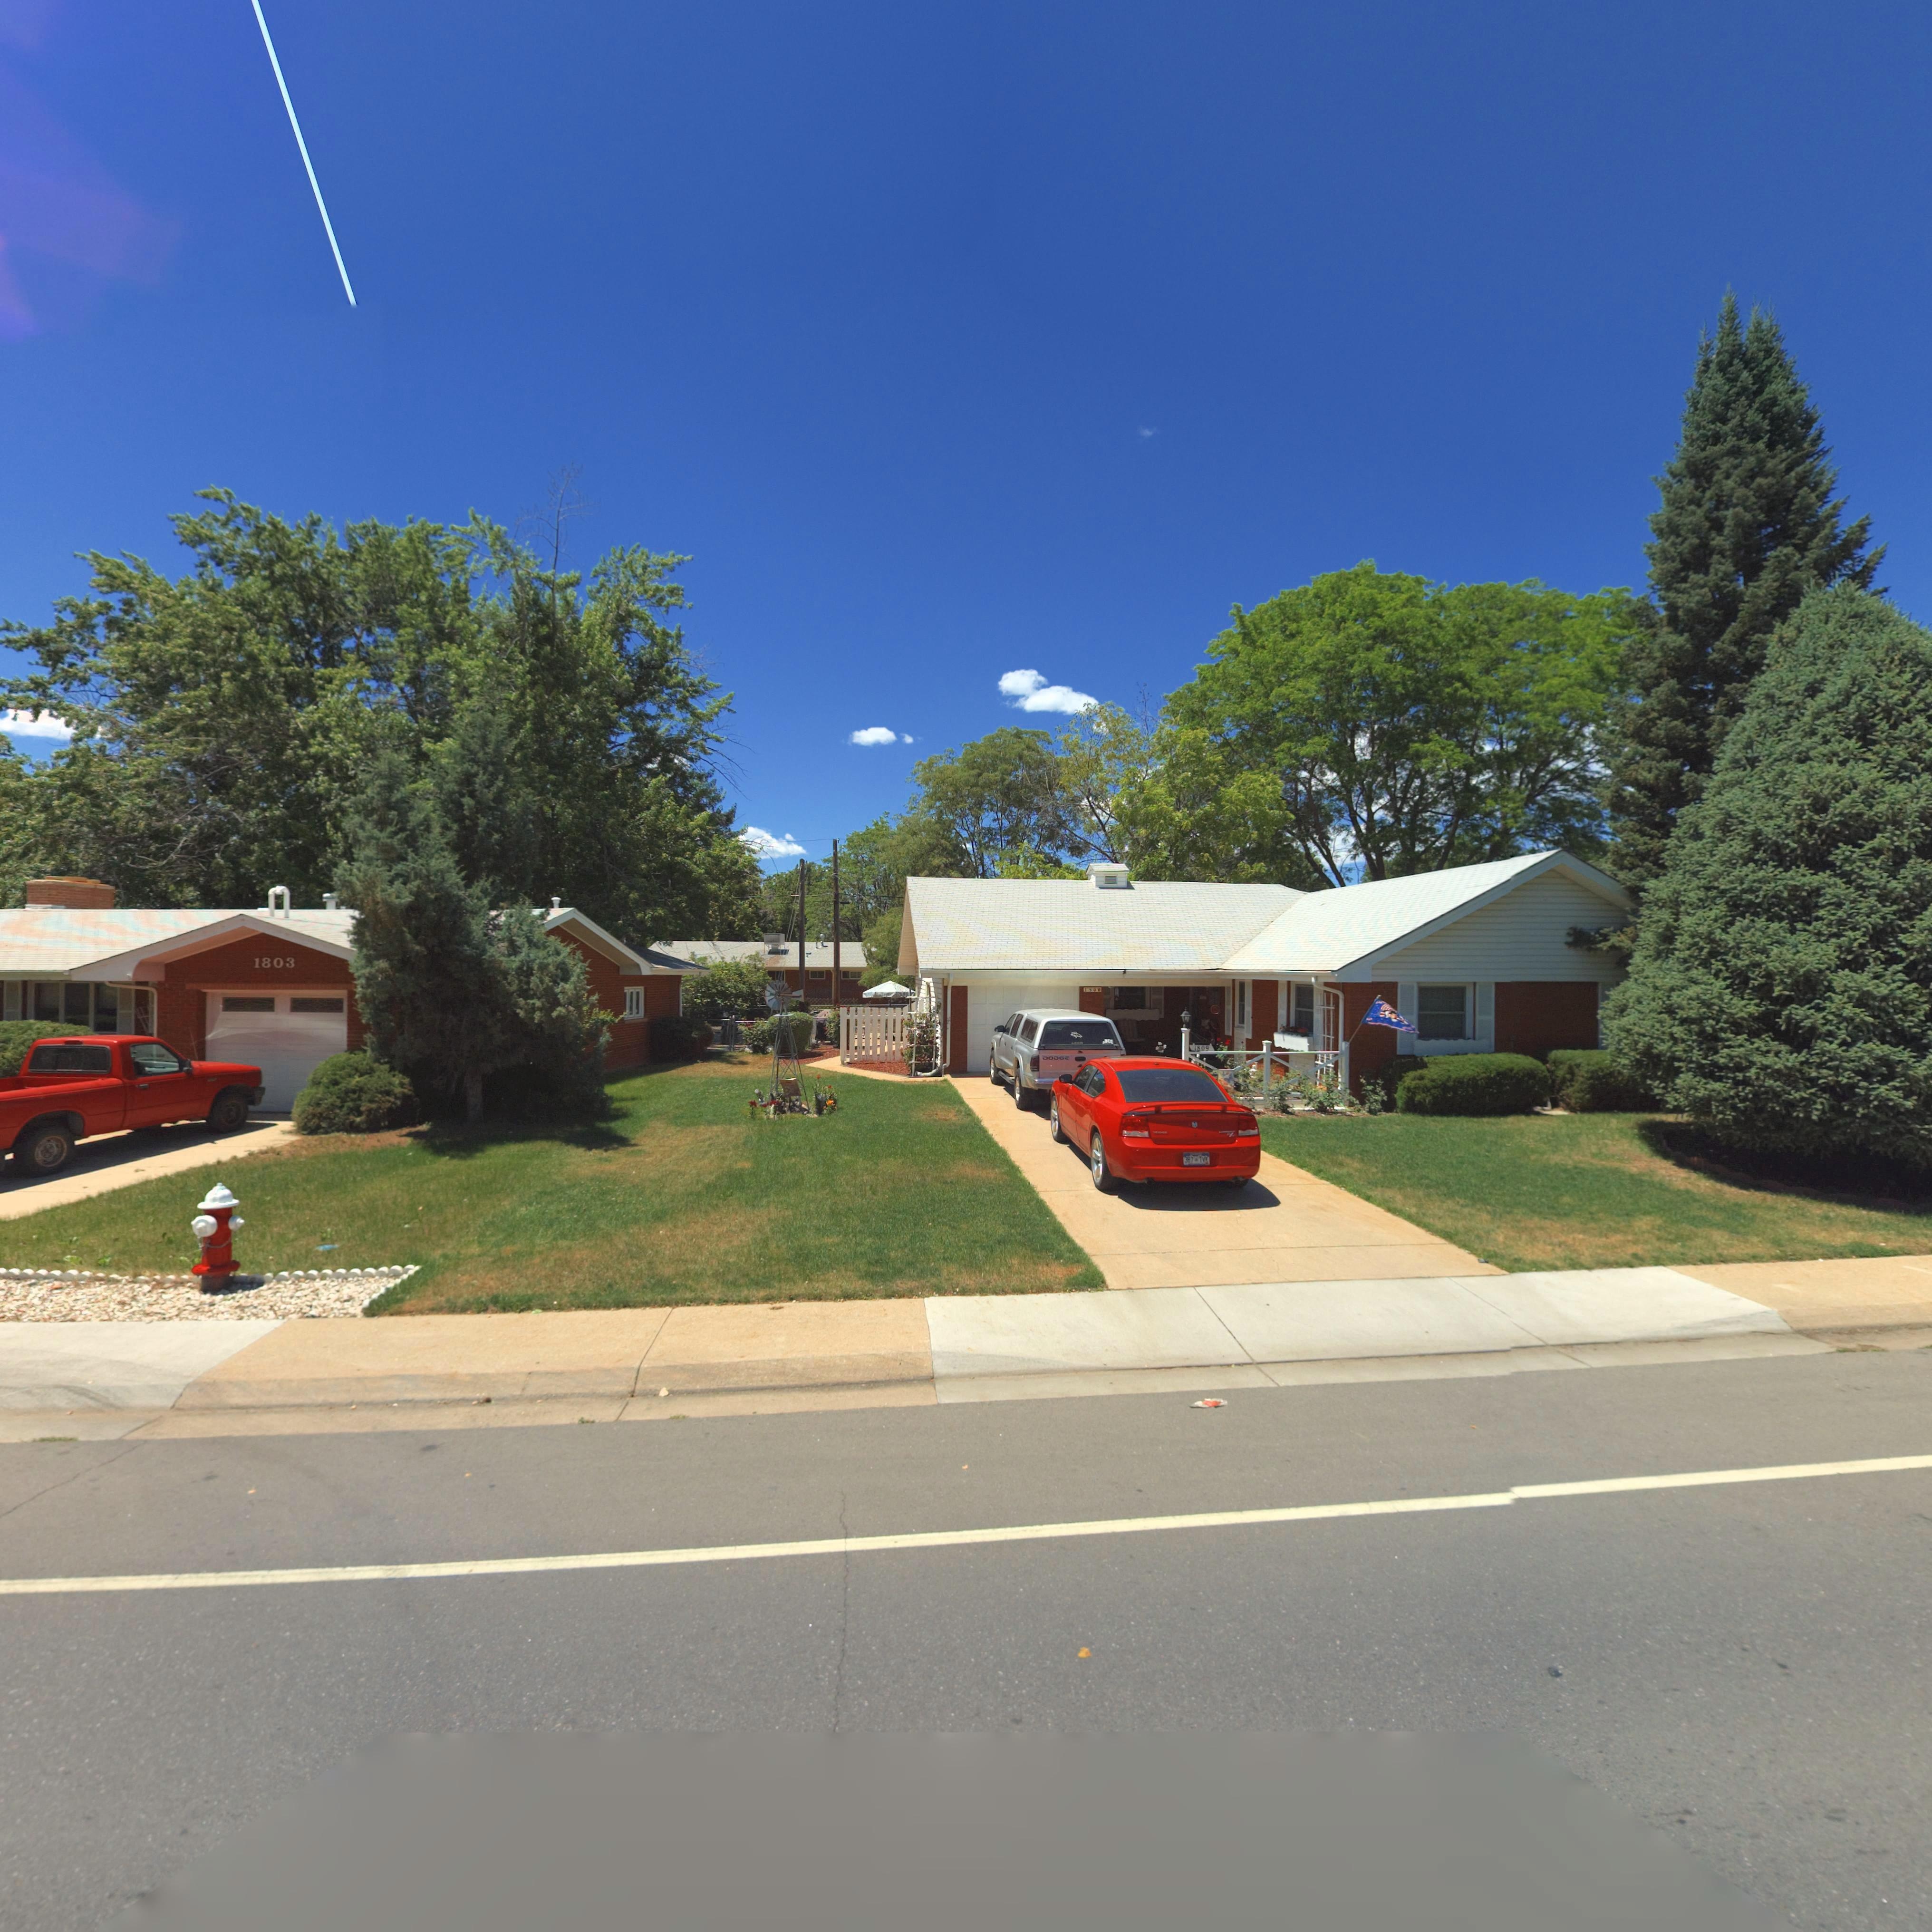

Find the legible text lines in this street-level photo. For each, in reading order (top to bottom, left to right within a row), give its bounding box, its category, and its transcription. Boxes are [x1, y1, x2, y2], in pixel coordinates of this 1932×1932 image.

[254, 957, 295, 968] StreetNumber: 1803
[1195, 1045, 1209, 1050] StreetNumber: 1809